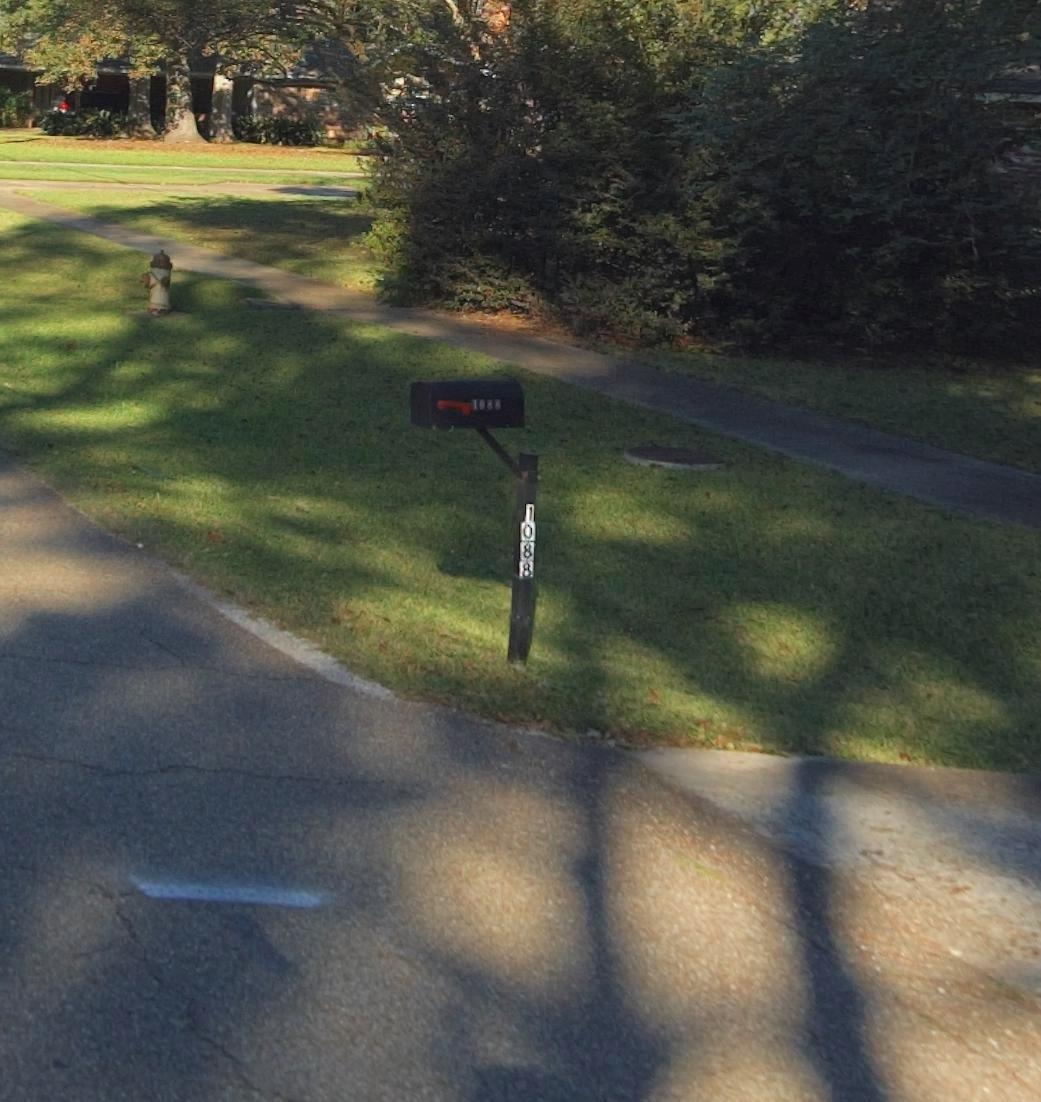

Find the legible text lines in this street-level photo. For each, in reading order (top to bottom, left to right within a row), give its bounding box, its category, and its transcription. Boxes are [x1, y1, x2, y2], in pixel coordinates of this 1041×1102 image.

[470, 397, 503, 412] StreetNumber: 1088
[520, 504, 537, 580] StreetNumber: 1088